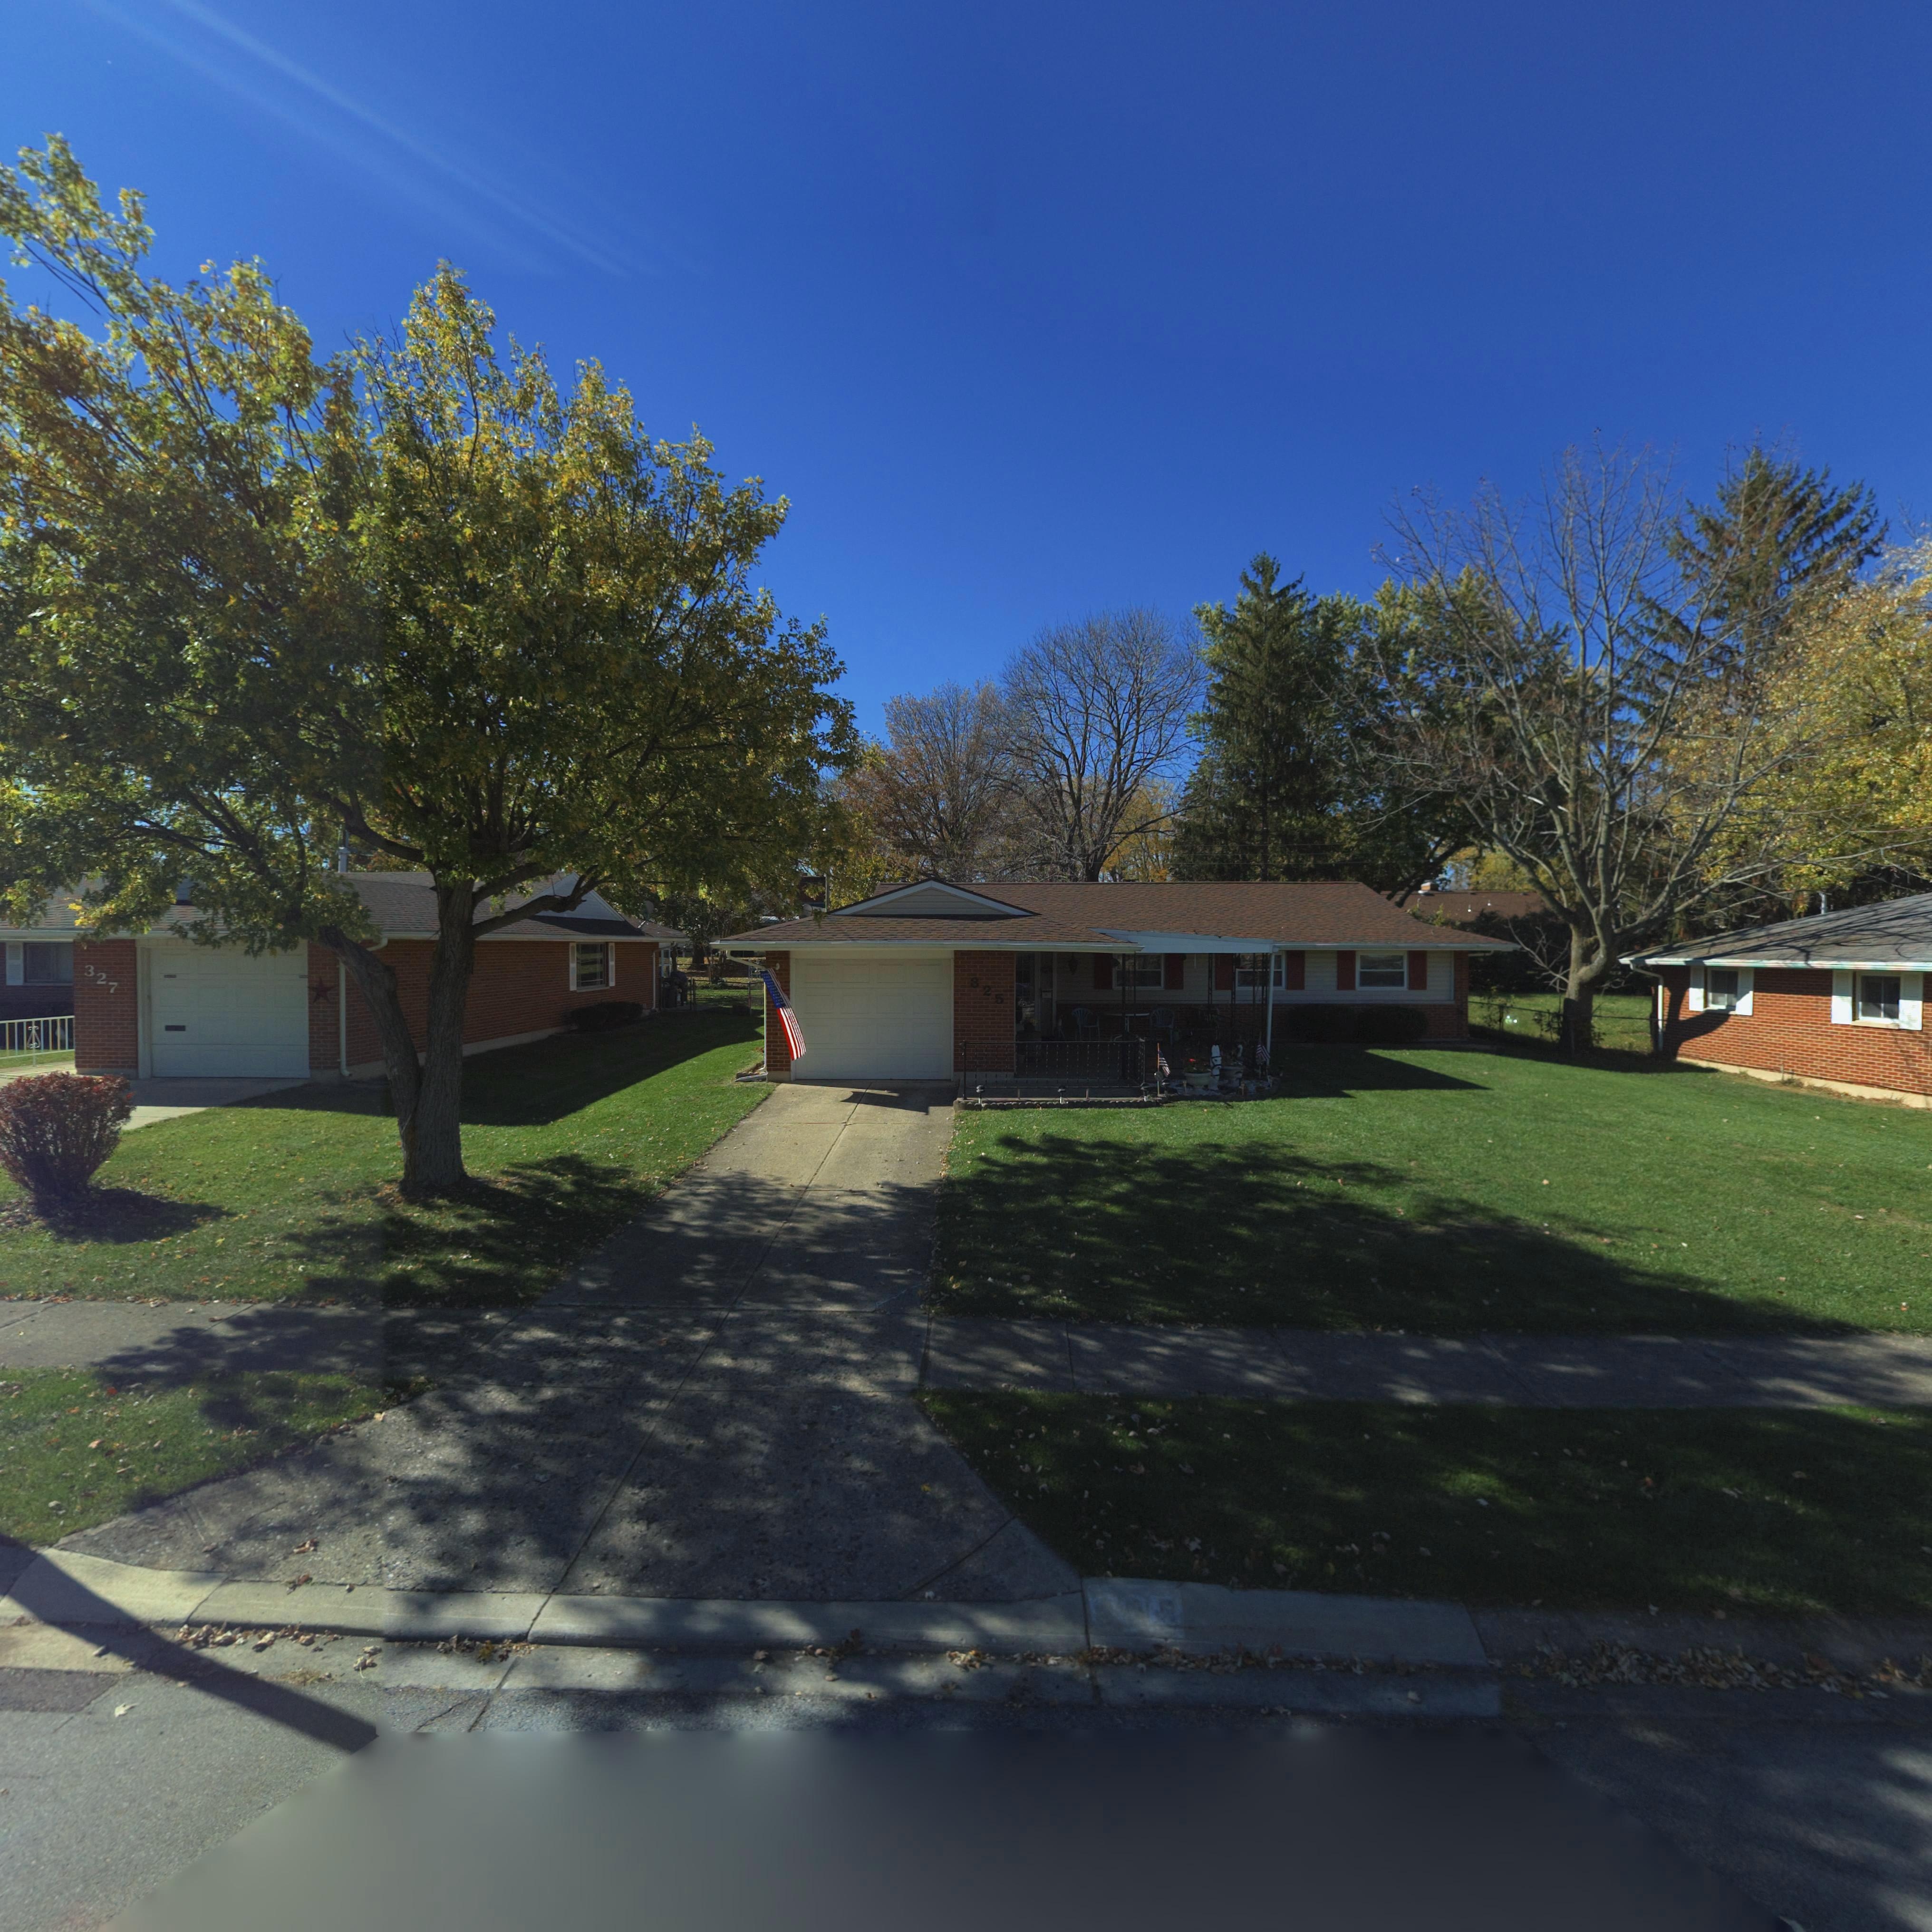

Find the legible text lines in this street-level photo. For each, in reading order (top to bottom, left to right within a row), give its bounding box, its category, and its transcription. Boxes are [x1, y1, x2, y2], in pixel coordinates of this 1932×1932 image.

[83, 964, 119, 995] StreetNumber: 327
[969, 976, 1005, 1005] StreetNumber: 325